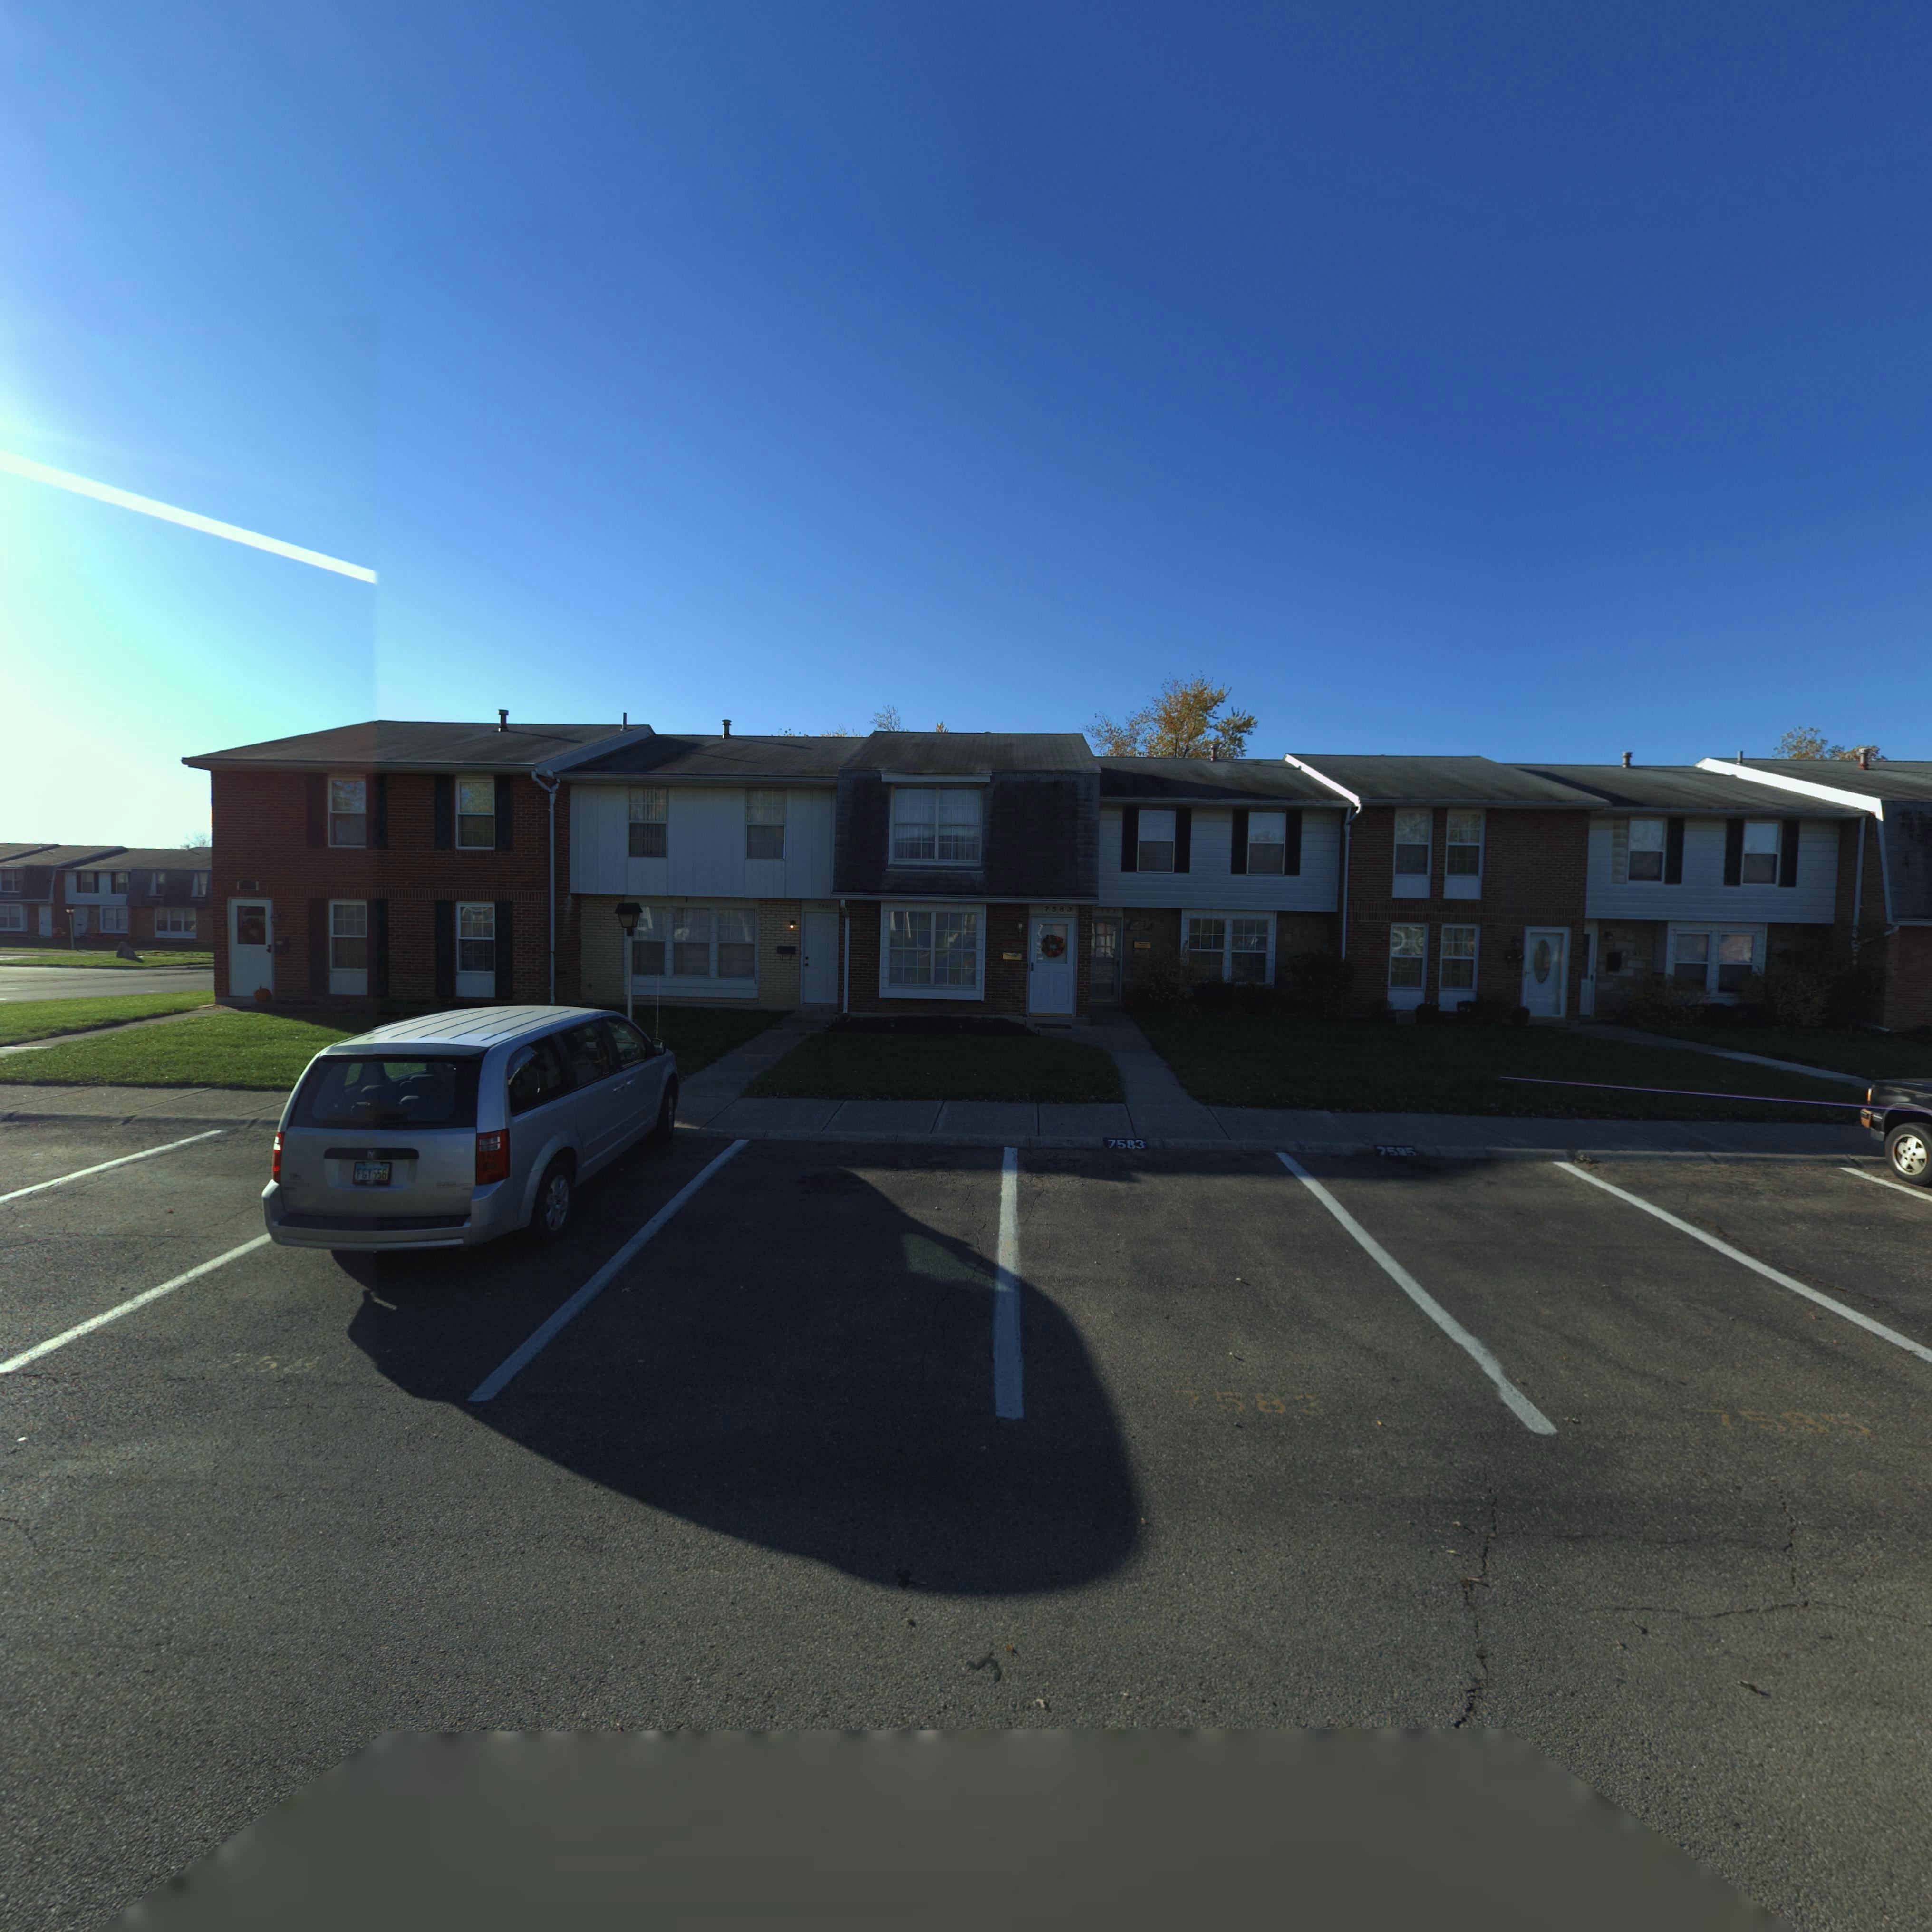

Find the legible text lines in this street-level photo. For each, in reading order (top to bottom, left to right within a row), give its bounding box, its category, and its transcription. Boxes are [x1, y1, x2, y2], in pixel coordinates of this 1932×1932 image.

[238, 881, 243, 889] StreetNumber: 7
[817, 903, 832, 909] StreetNumber: 7581
[1044, 906, 1072, 912] StreetNumber: 7583
[1093, 908, 1116, 914] StreetNumber: 7585
[1107, 1139, 1145, 1149] StreetNumber: 7583
[1375, 1146, 1417, 1157] StreetNumber: 7585
[210, 1351, 355, 1379] StreetNumber: 7581
[1173, 1387, 1330, 1420] StreetNumber: 7583
[1690, 1407, 1875, 1438] StreetNumber: 7585